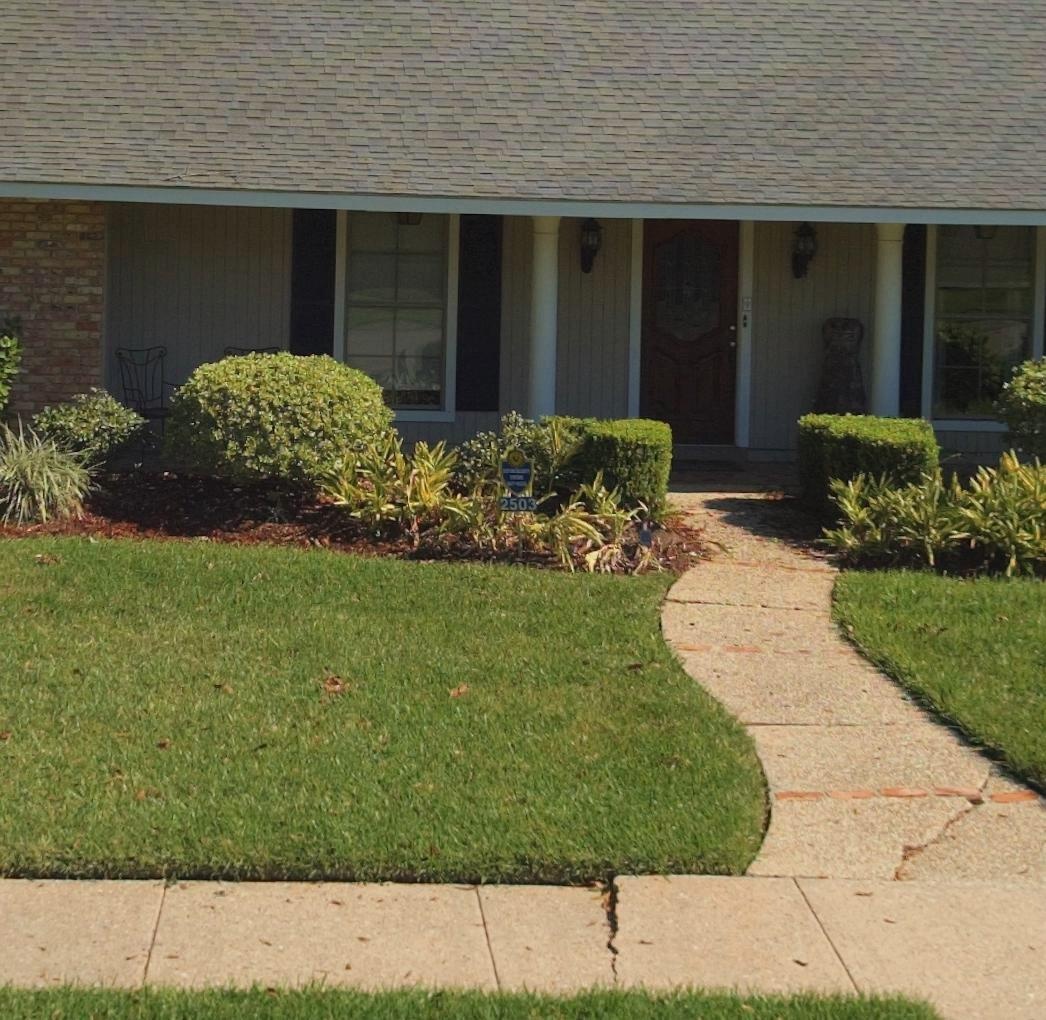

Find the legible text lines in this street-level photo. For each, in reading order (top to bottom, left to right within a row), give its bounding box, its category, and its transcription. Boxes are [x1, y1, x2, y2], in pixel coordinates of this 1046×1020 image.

[499, 497, 539, 512] StreetNumber: 2503